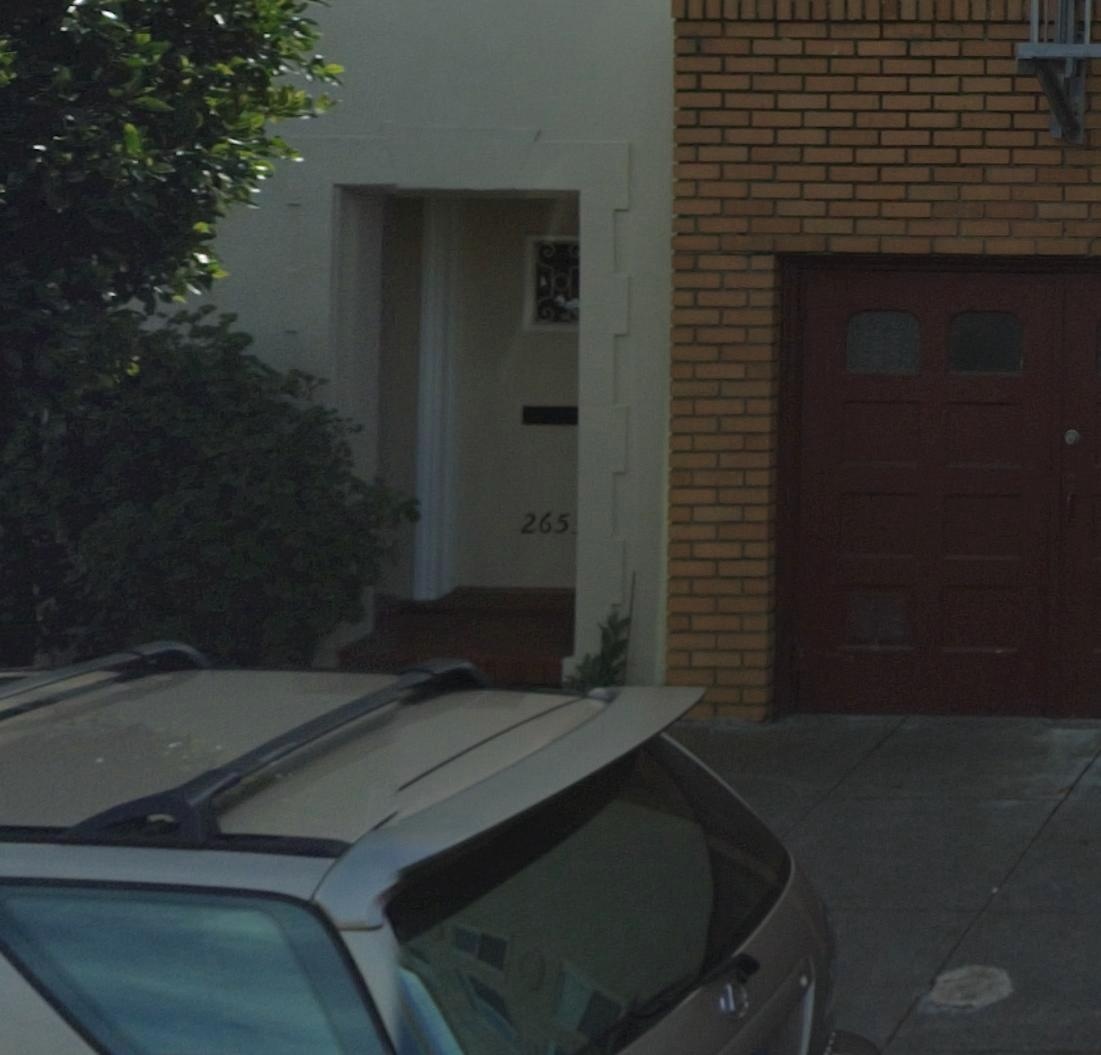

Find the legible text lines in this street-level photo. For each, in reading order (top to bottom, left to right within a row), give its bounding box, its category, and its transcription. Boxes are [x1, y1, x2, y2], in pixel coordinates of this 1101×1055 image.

[515, 509, 574, 537] StreetNumber: 2655